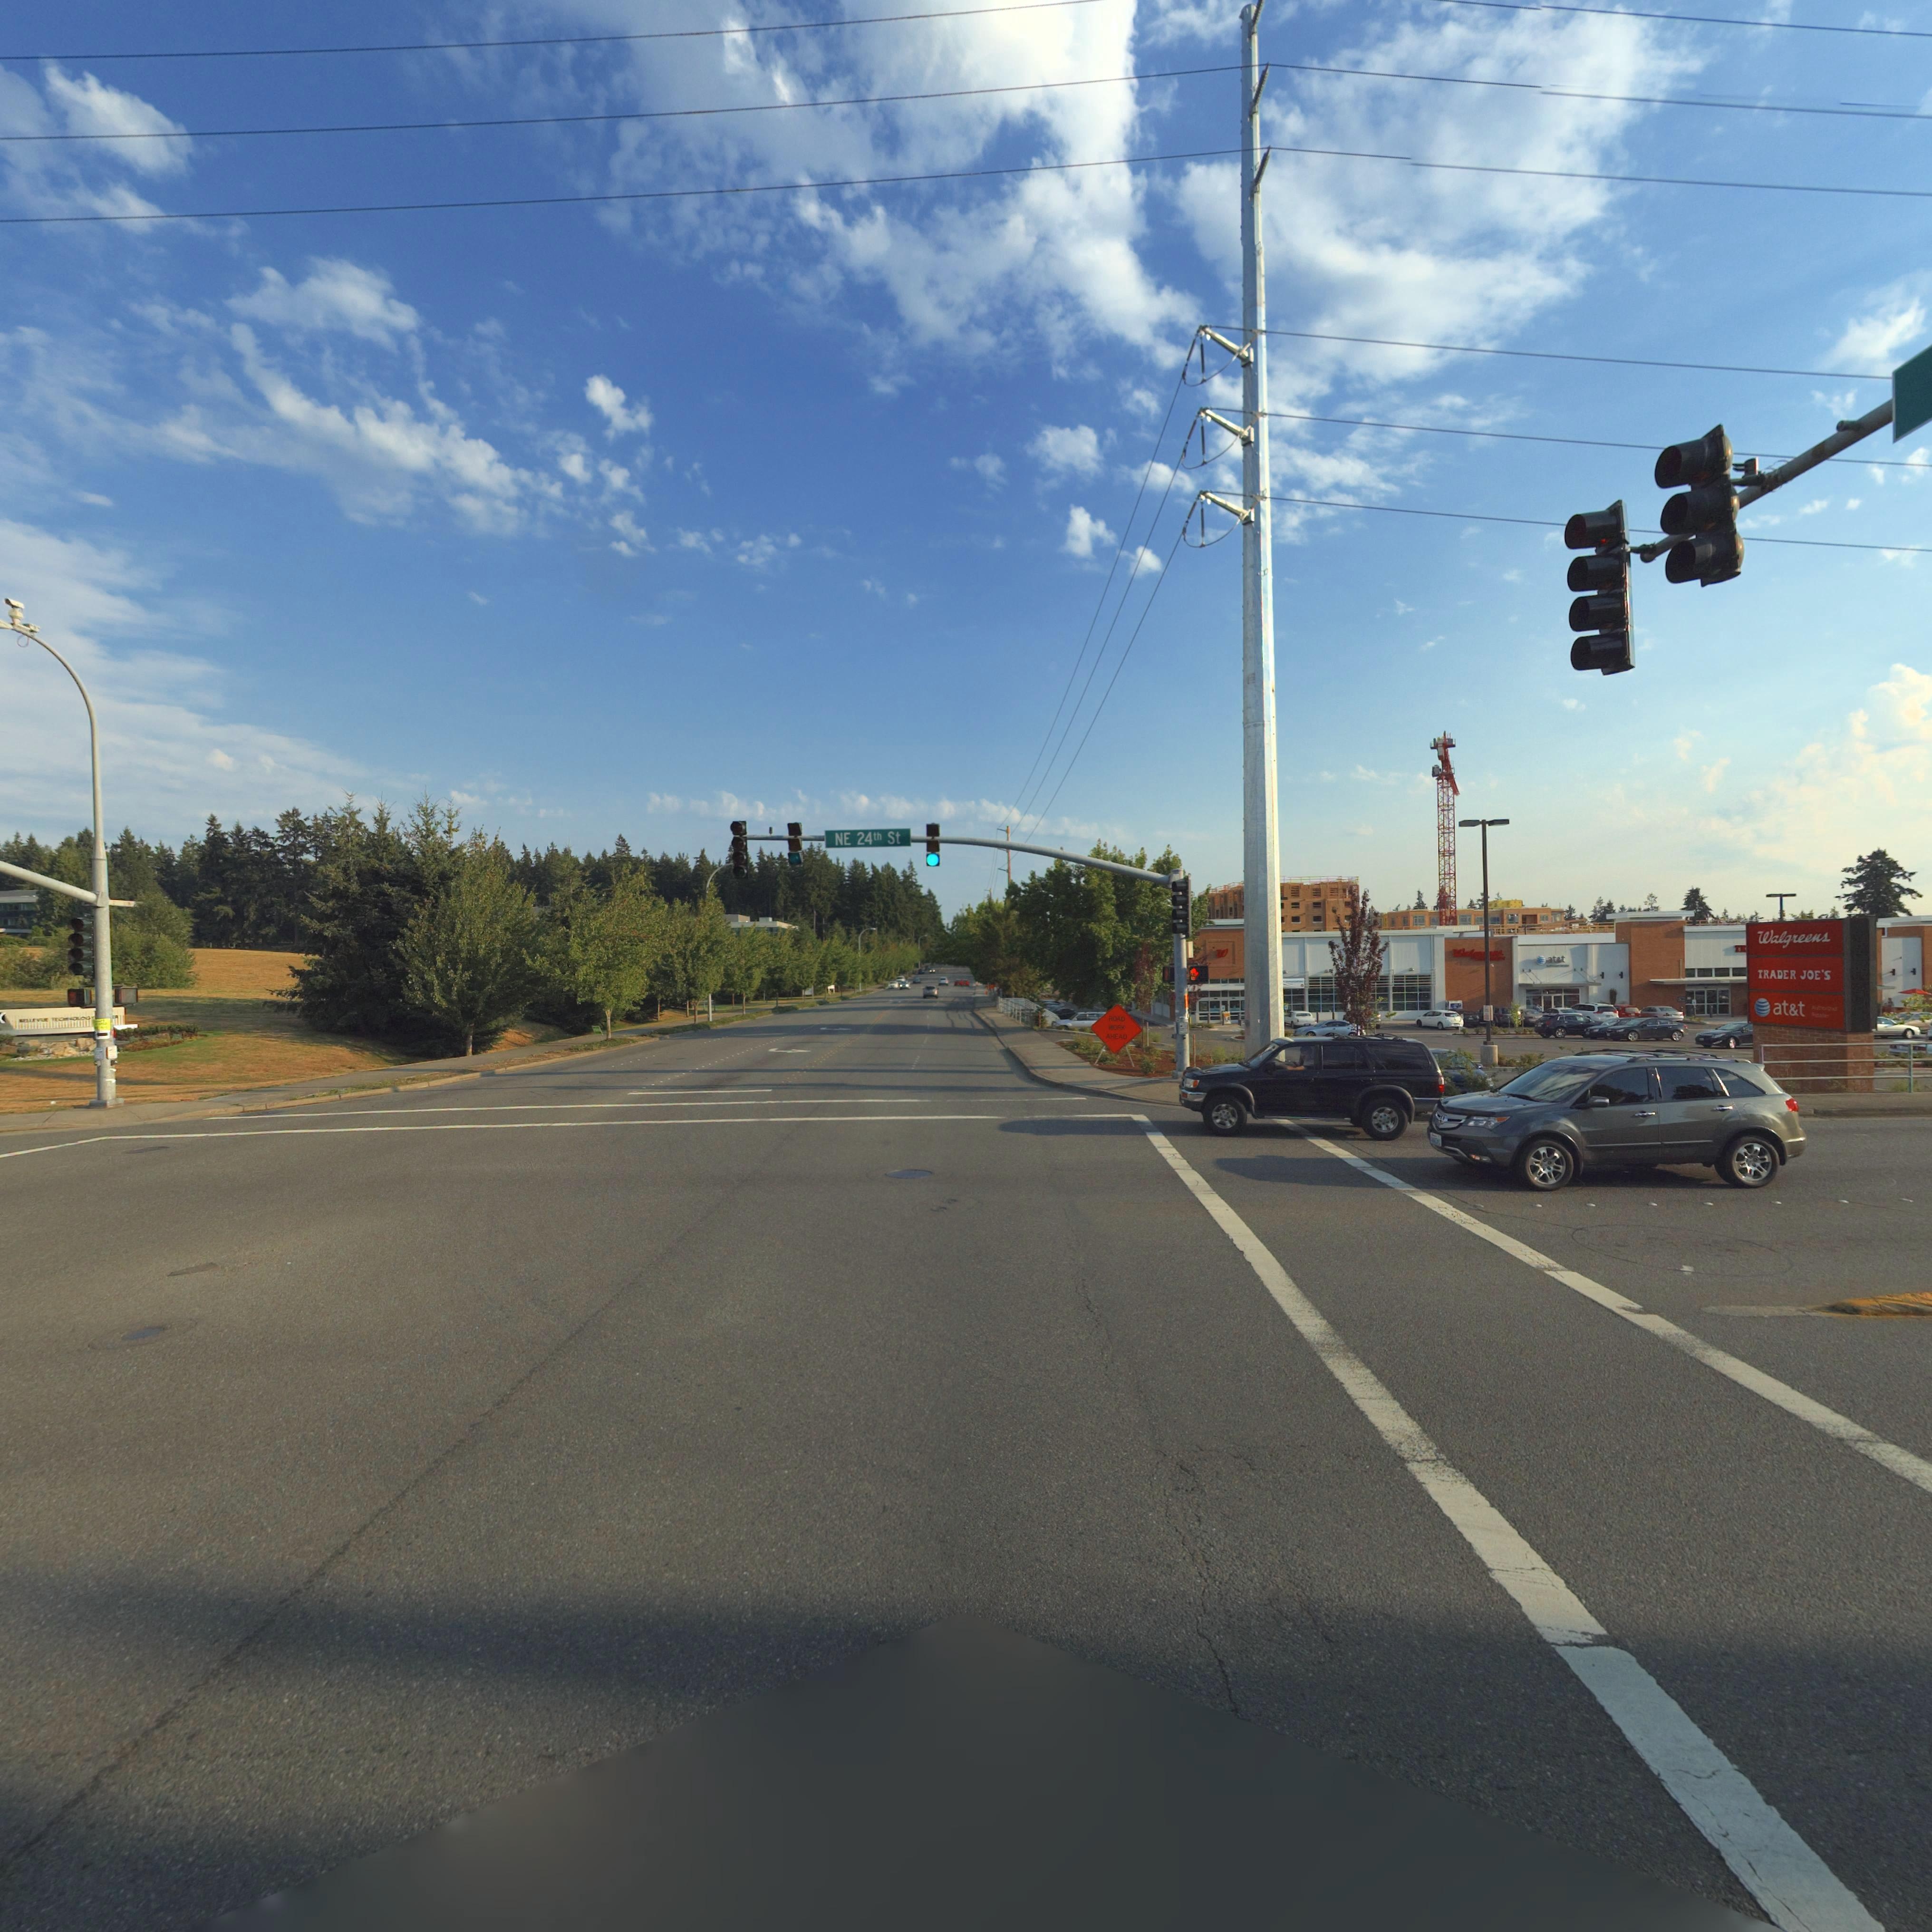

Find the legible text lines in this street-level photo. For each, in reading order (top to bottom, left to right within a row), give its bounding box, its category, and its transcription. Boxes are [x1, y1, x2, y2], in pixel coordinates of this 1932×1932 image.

[835, 831, 900, 845] StreetName: NE 24th St
[1756, 928, 1831, 949] BusinessName: Walgreens
[1756, 967, 1832, 982] BusinessName: TRADER JOE'S
[1772, 997, 1808, 1018] None: at*t